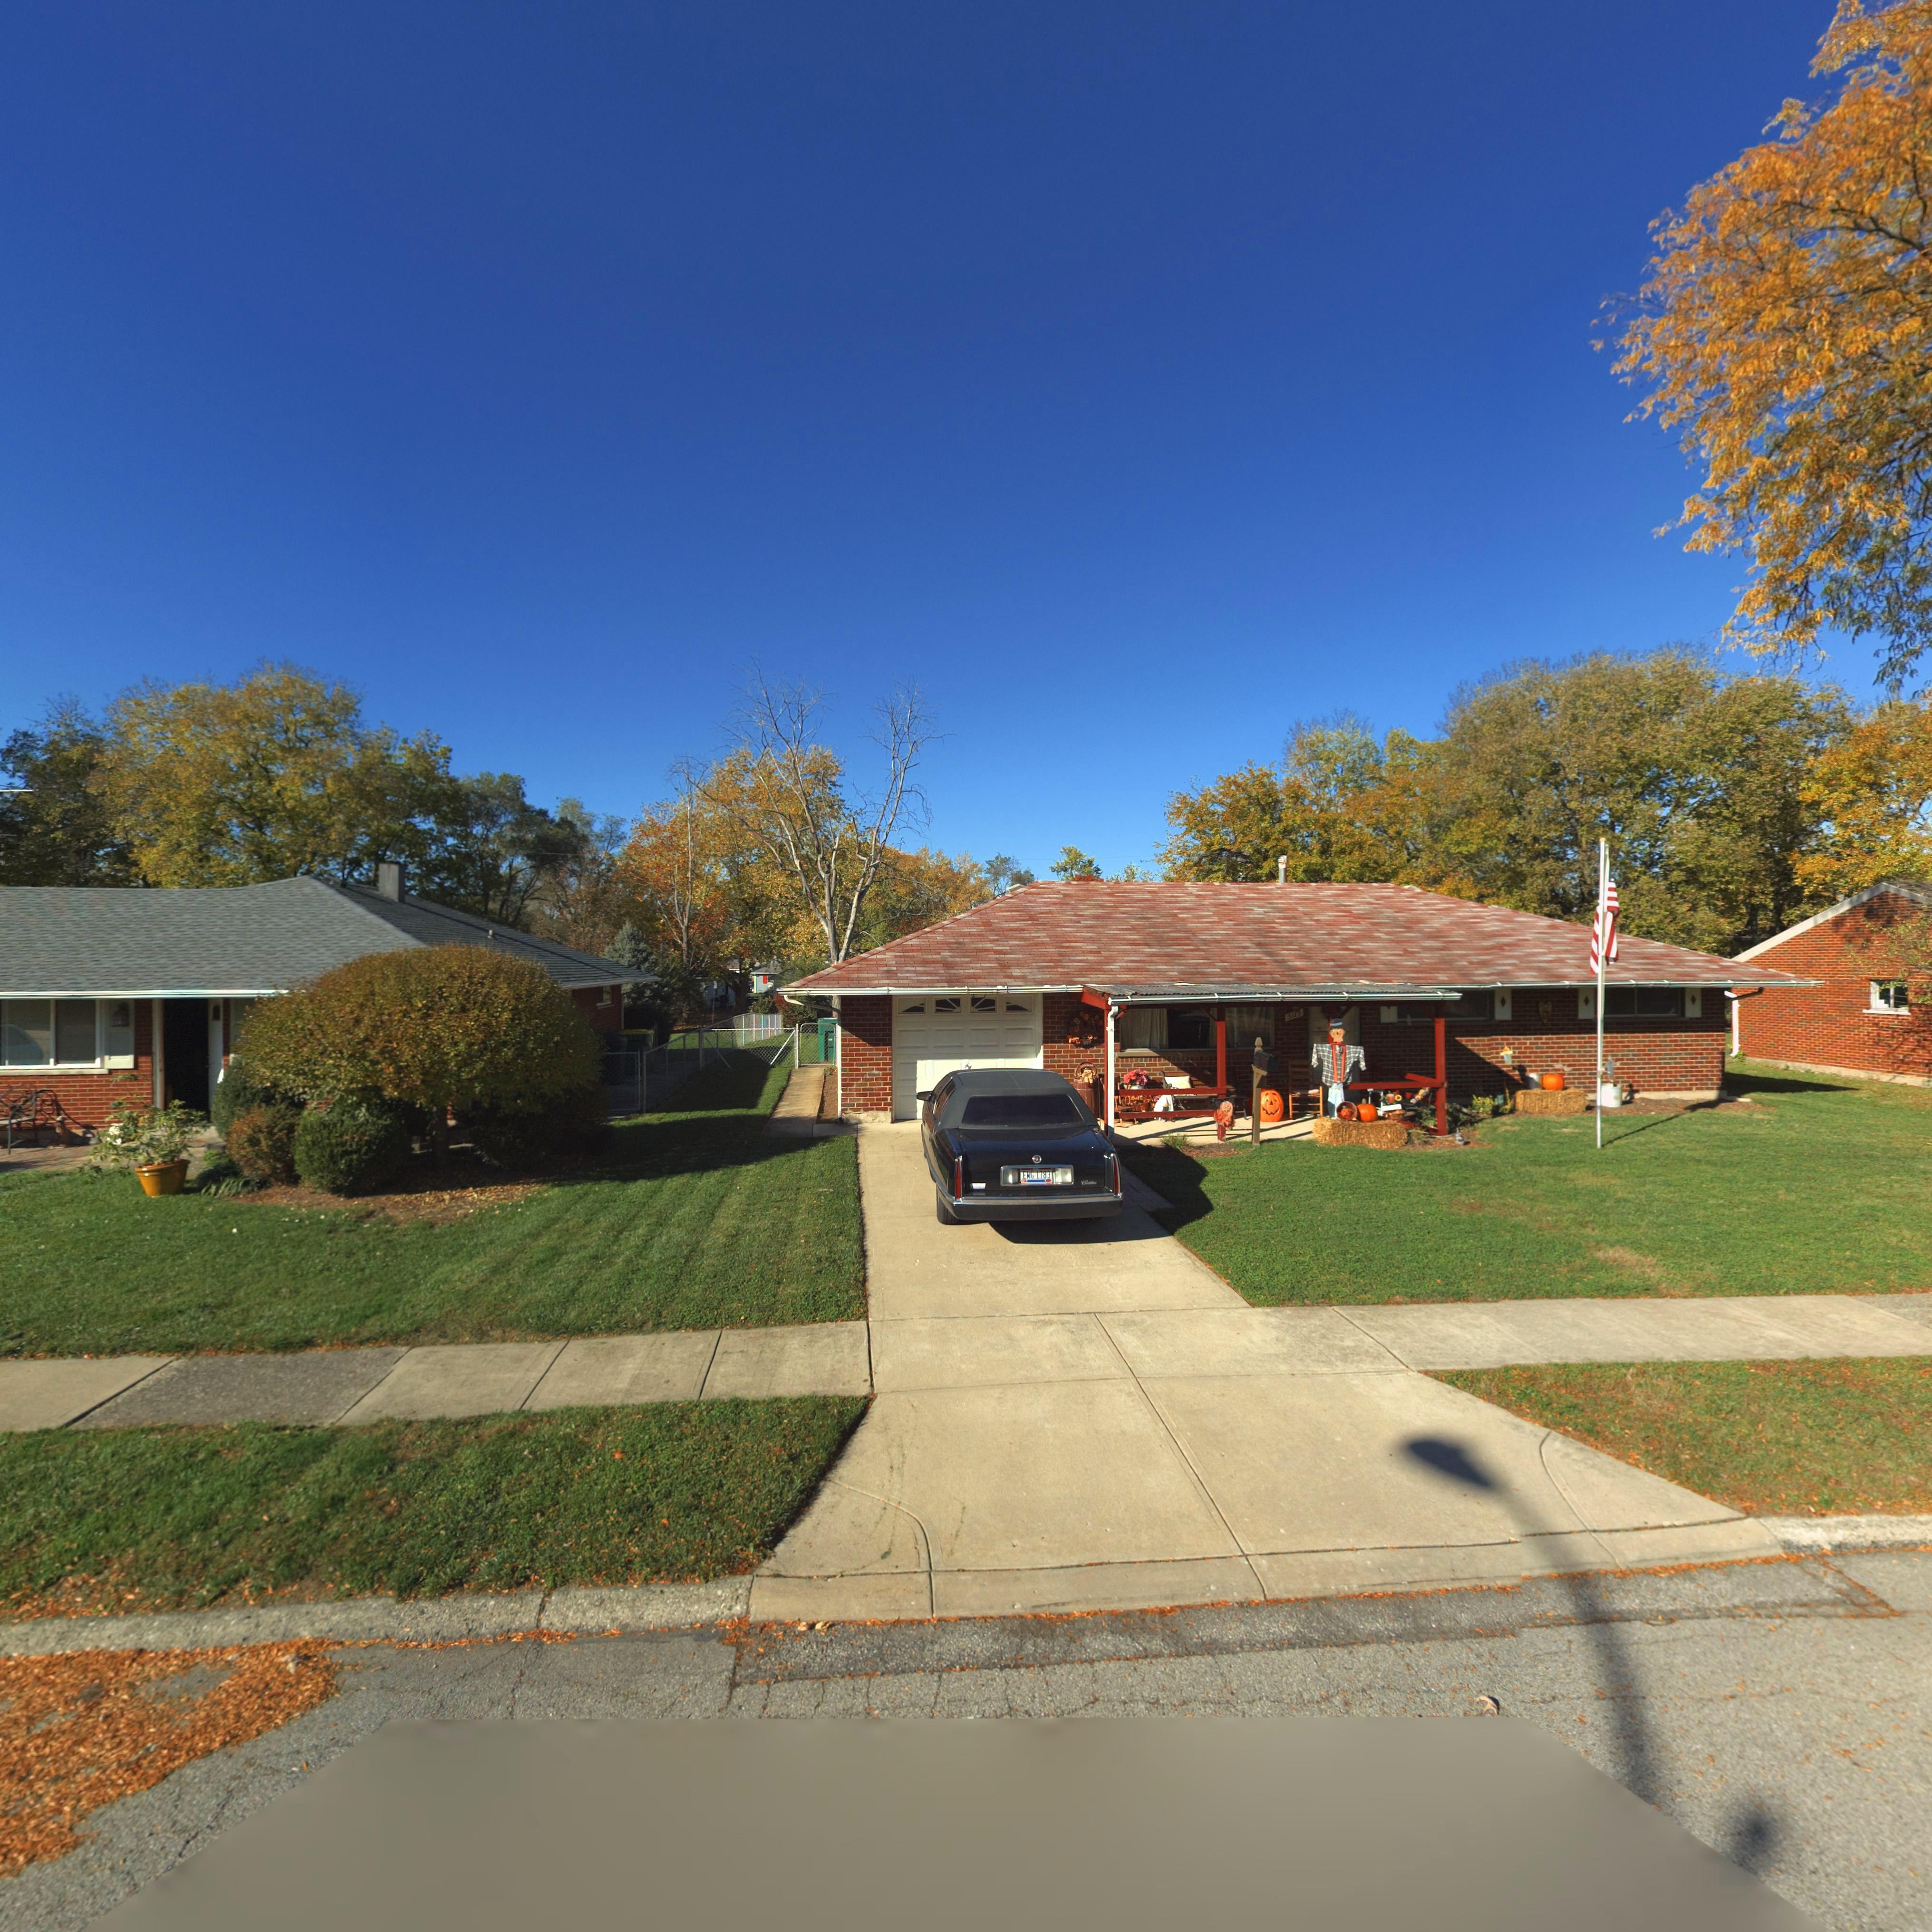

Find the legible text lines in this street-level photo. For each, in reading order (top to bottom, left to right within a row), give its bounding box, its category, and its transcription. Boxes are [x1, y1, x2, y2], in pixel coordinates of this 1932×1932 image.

[1287, 1009, 1302, 1021] StreetNumber: 5119